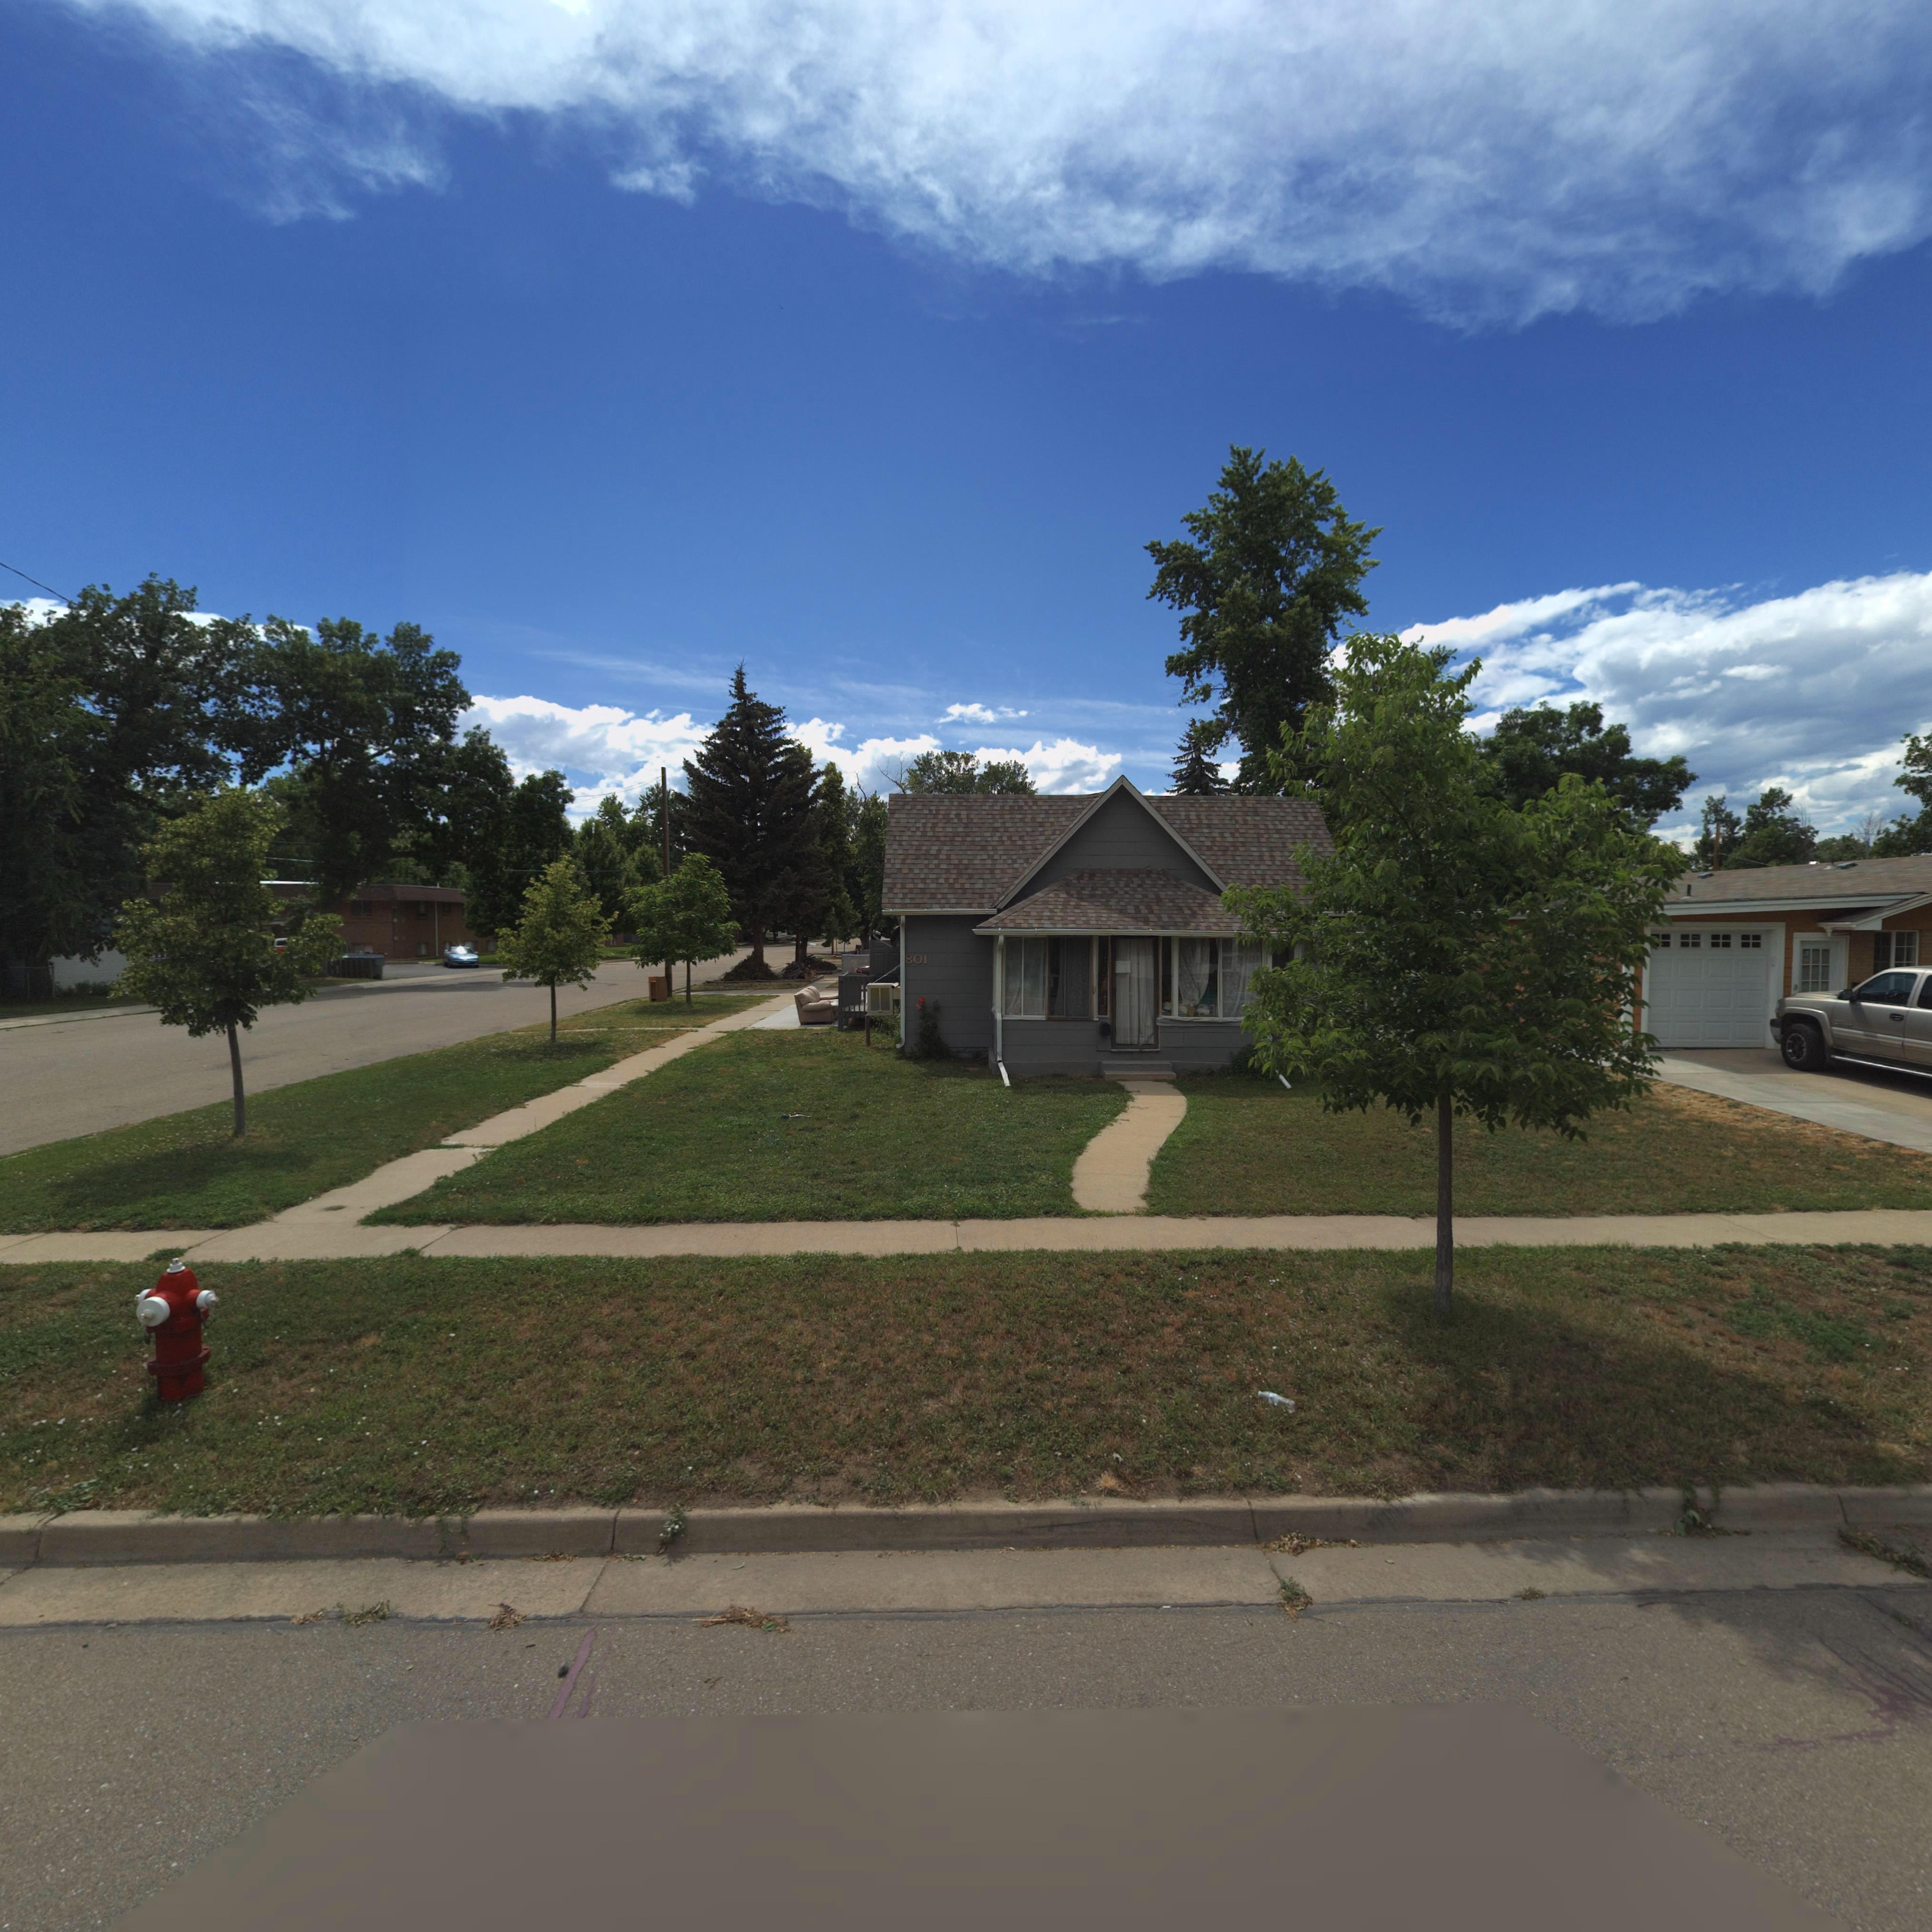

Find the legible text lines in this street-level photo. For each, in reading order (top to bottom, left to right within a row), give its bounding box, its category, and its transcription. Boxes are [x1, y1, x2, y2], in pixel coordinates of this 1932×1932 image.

[906, 955, 928, 964] StreetNumber: 801